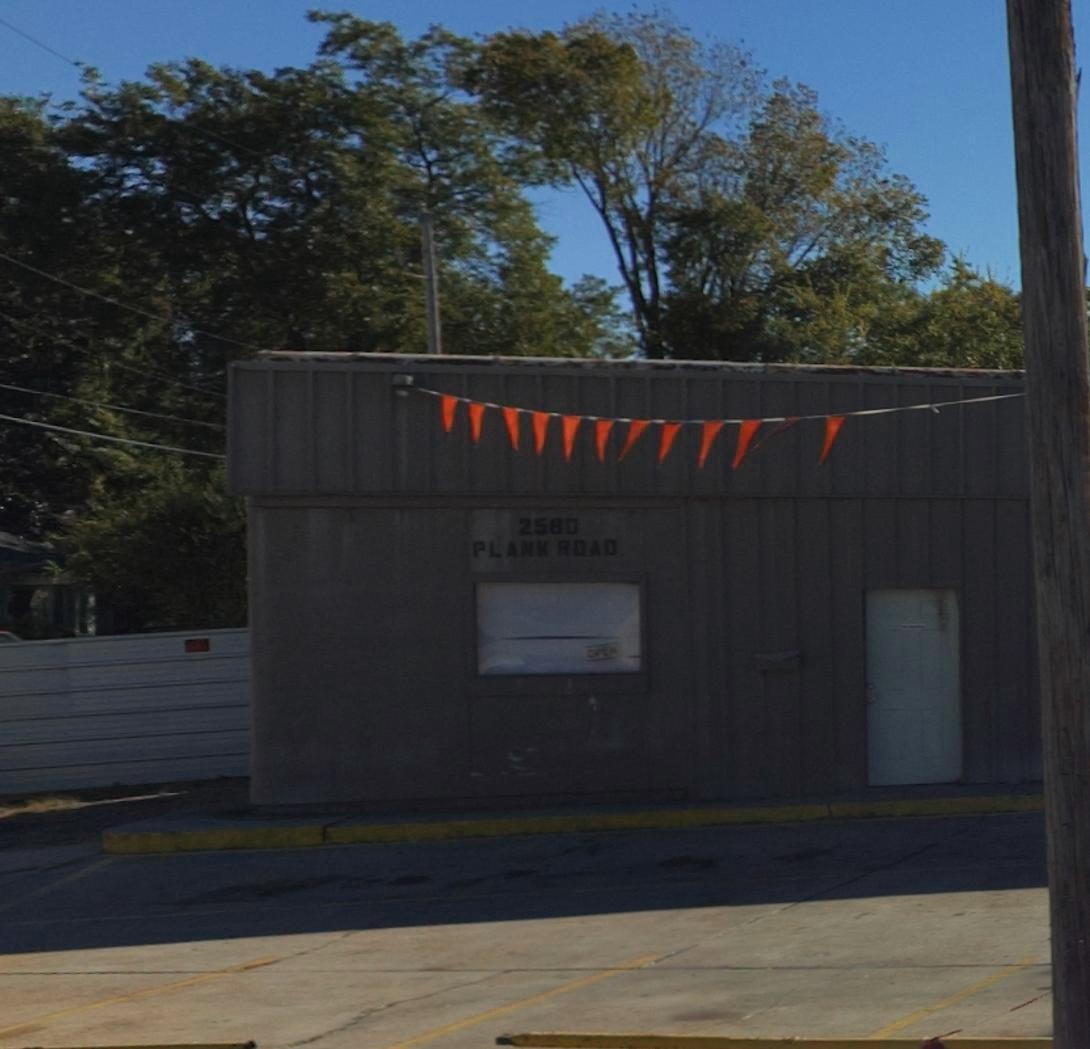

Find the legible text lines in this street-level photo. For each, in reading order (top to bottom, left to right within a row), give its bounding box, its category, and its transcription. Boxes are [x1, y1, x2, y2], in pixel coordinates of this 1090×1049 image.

[516, 514, 581, 538] StreetNumber: 2580
[468, 536, 622, 561] StreetName: PLANK ROAD
[583, 642, 623, 663] None: OPEN